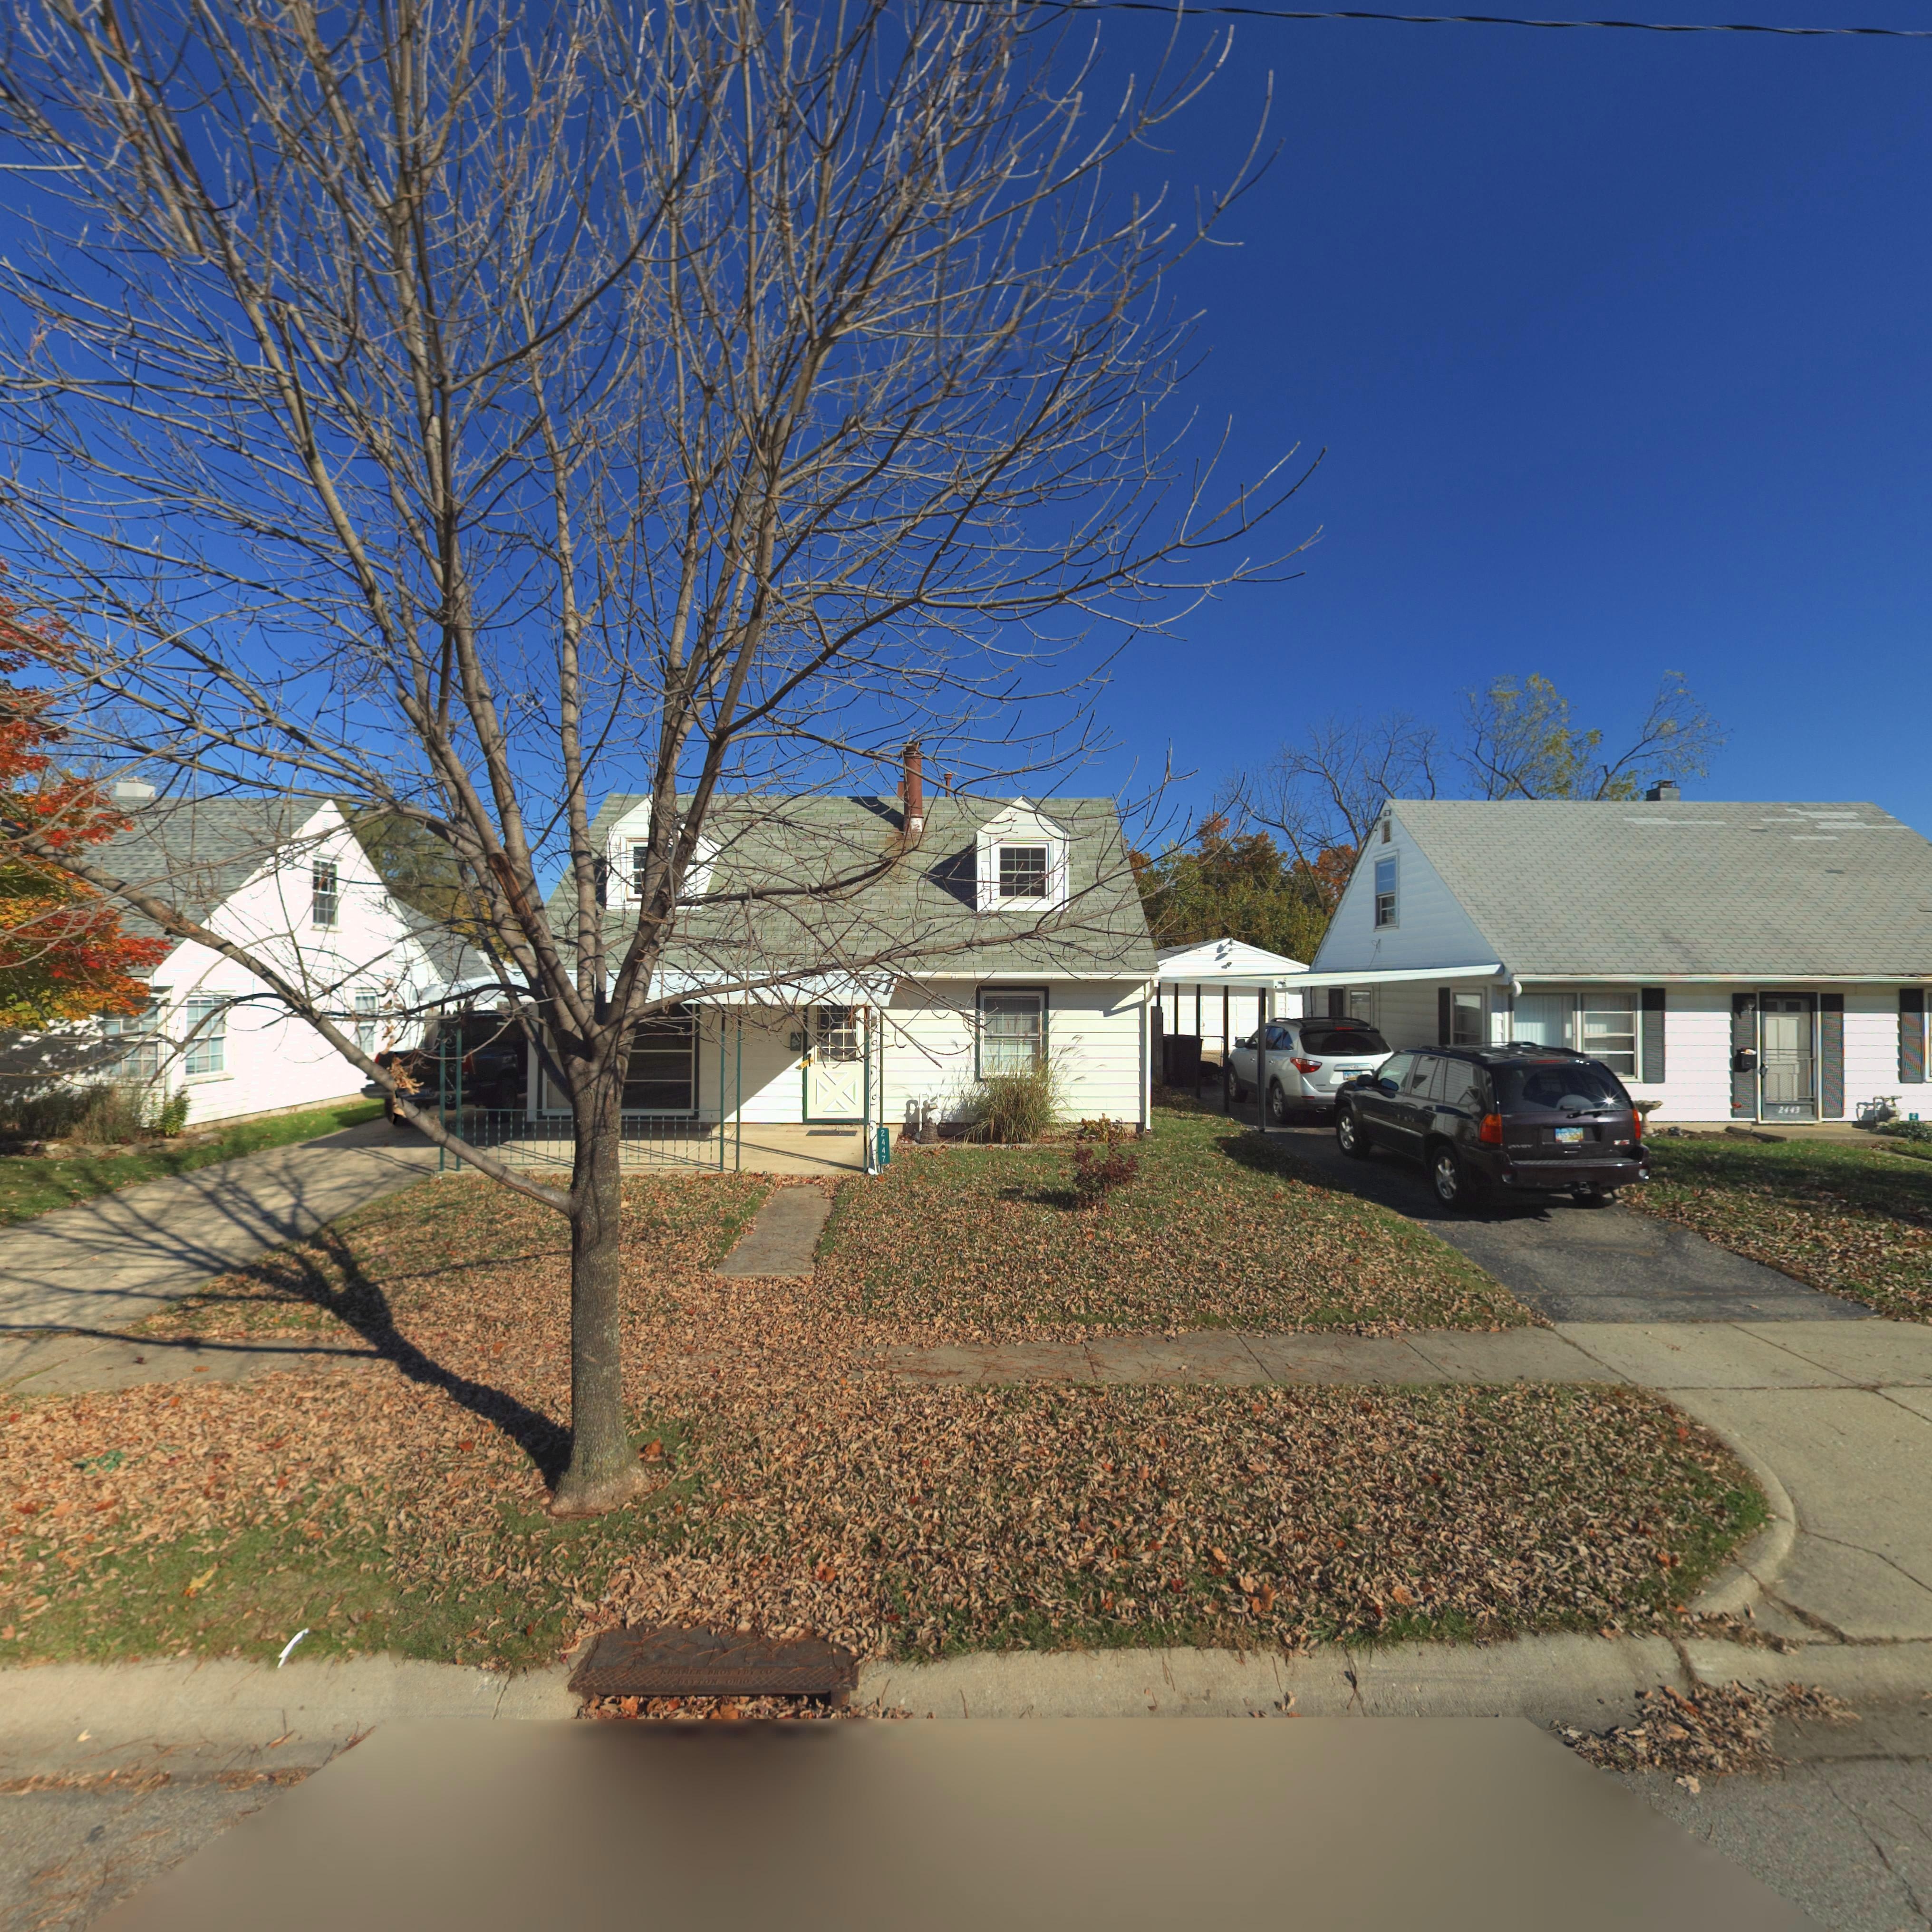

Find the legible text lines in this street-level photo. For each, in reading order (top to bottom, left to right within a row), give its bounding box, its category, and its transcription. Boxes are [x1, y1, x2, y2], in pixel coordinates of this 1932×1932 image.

[1777, 1105, 1801, 1114] StreetNumber: 2443
[879, 1129, 887, 1163] StreetNumber: 2447